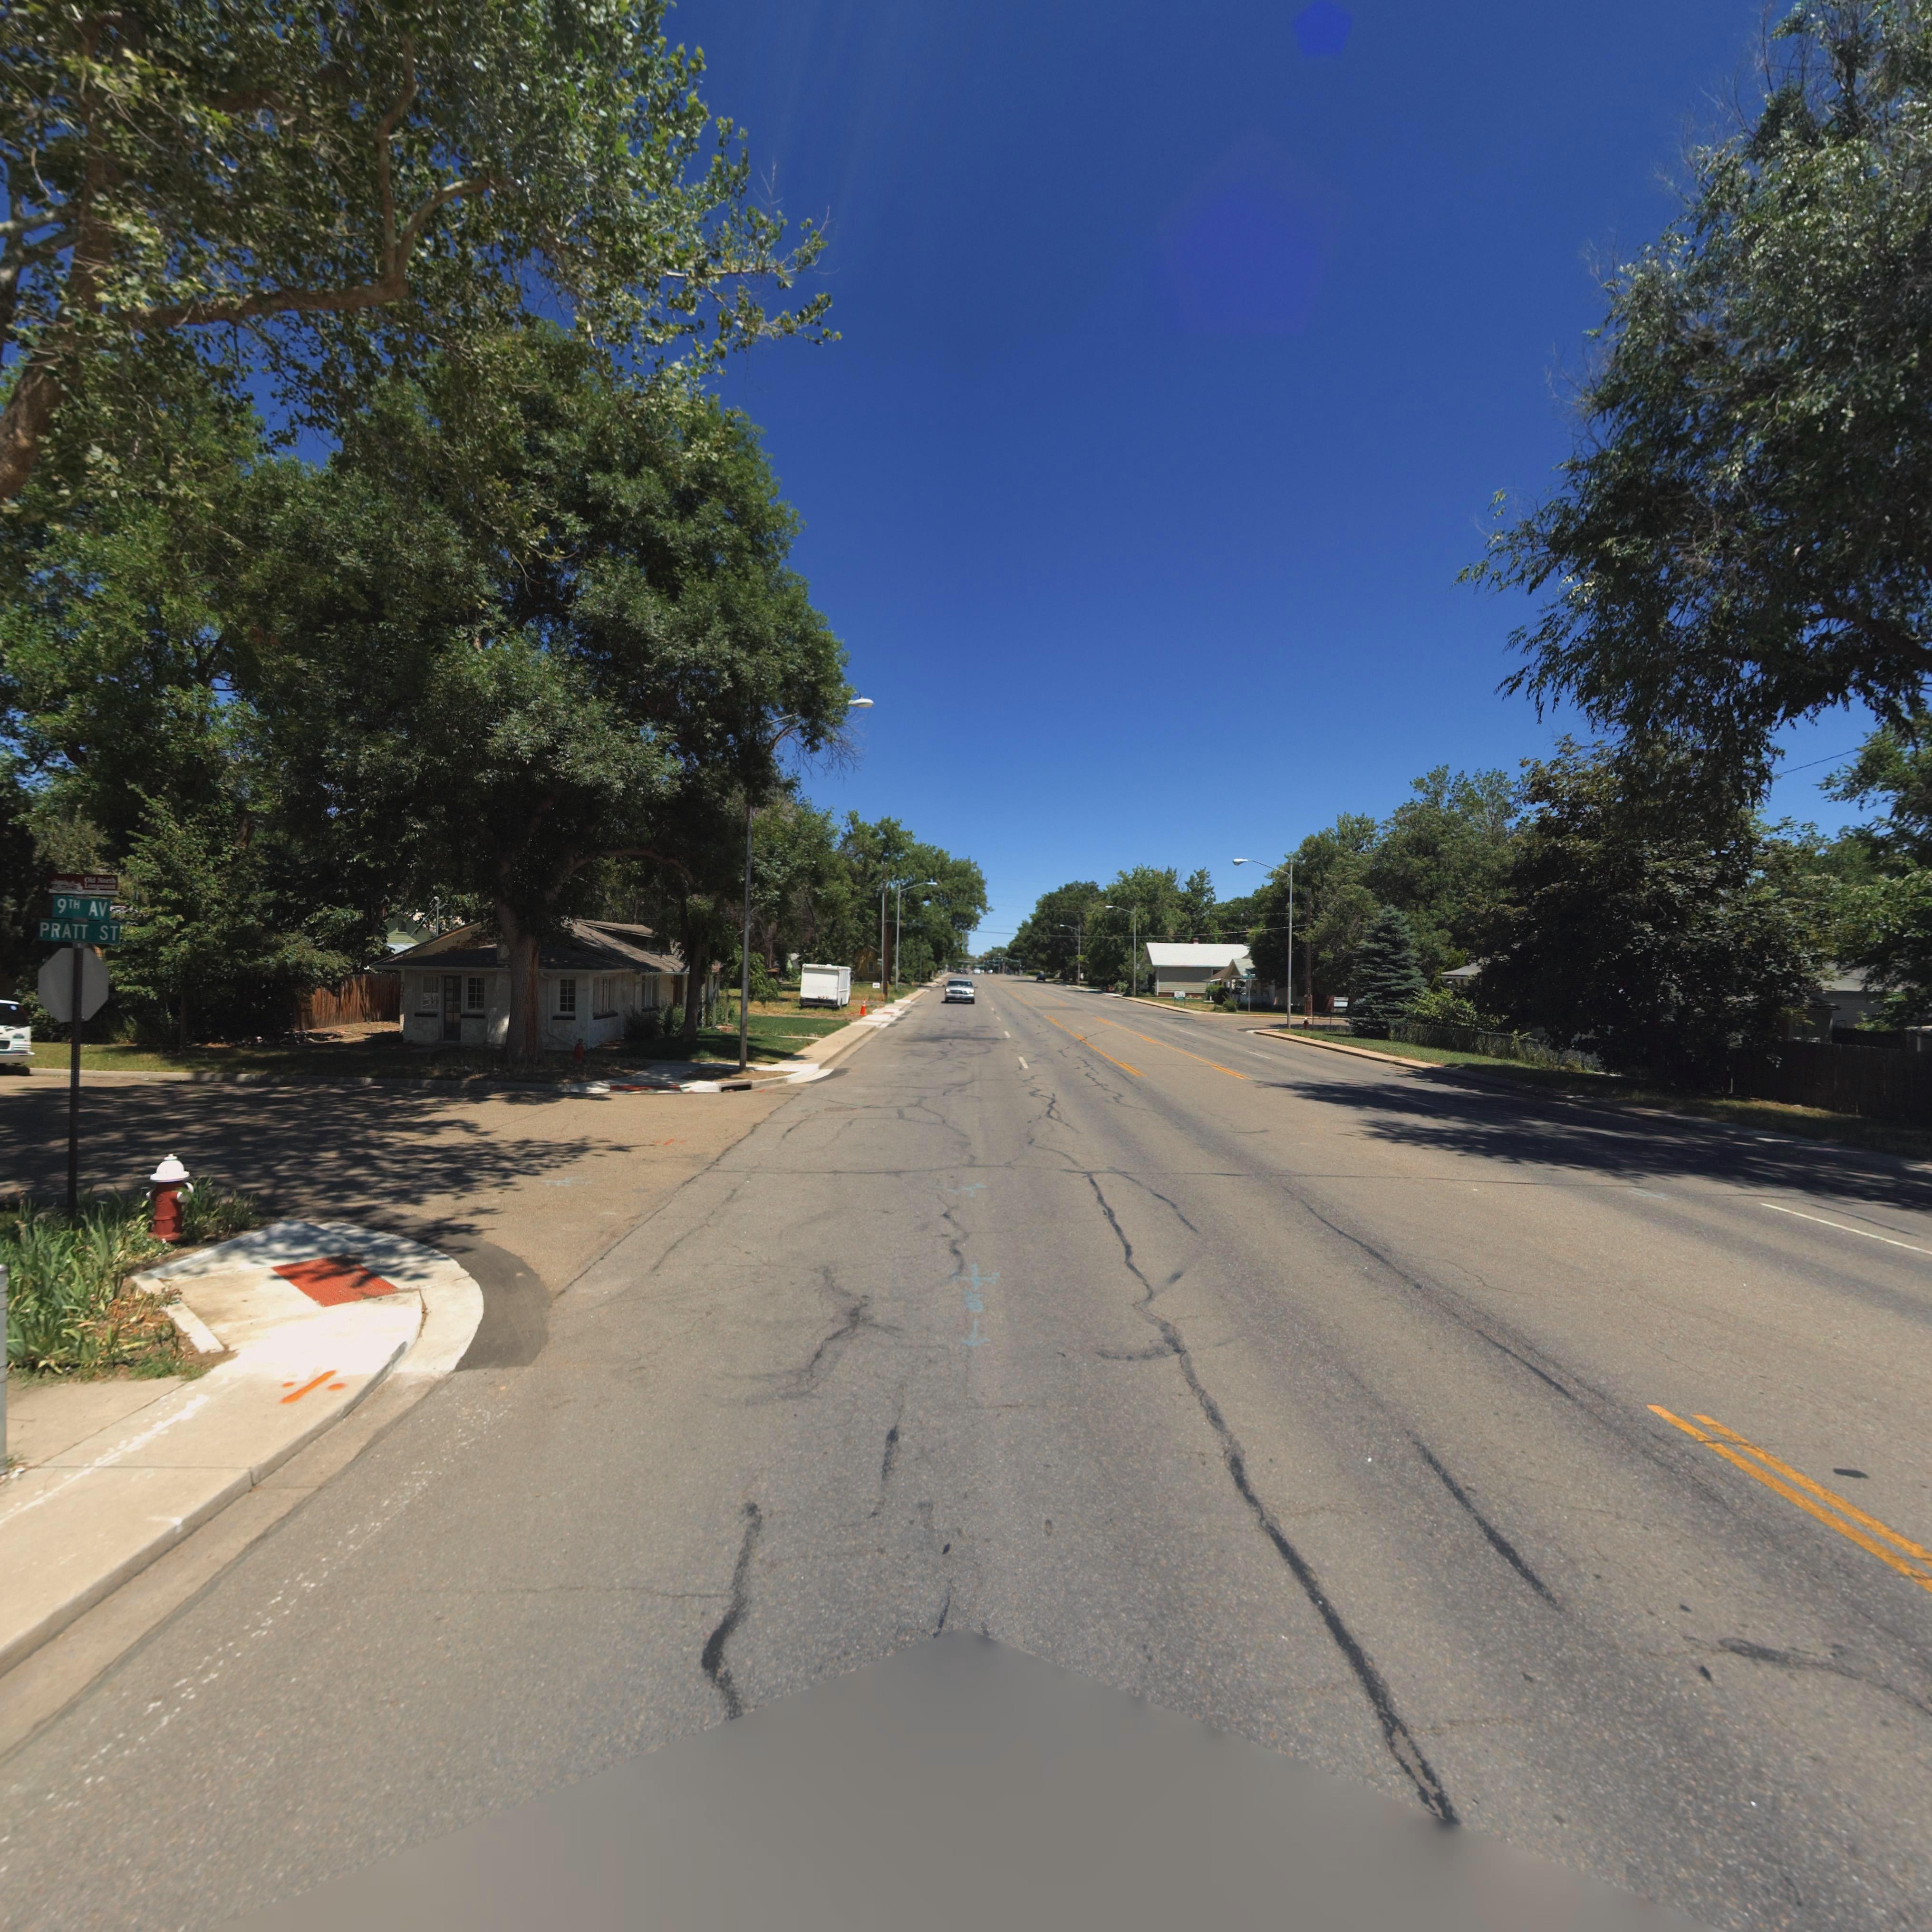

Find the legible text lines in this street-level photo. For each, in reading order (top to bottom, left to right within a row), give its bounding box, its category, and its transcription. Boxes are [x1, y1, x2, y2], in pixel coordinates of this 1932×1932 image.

[56, 898, 108, 917] StreetName: 9TH AV
[39, 922, 118, 941] StreetName: PRATT ST